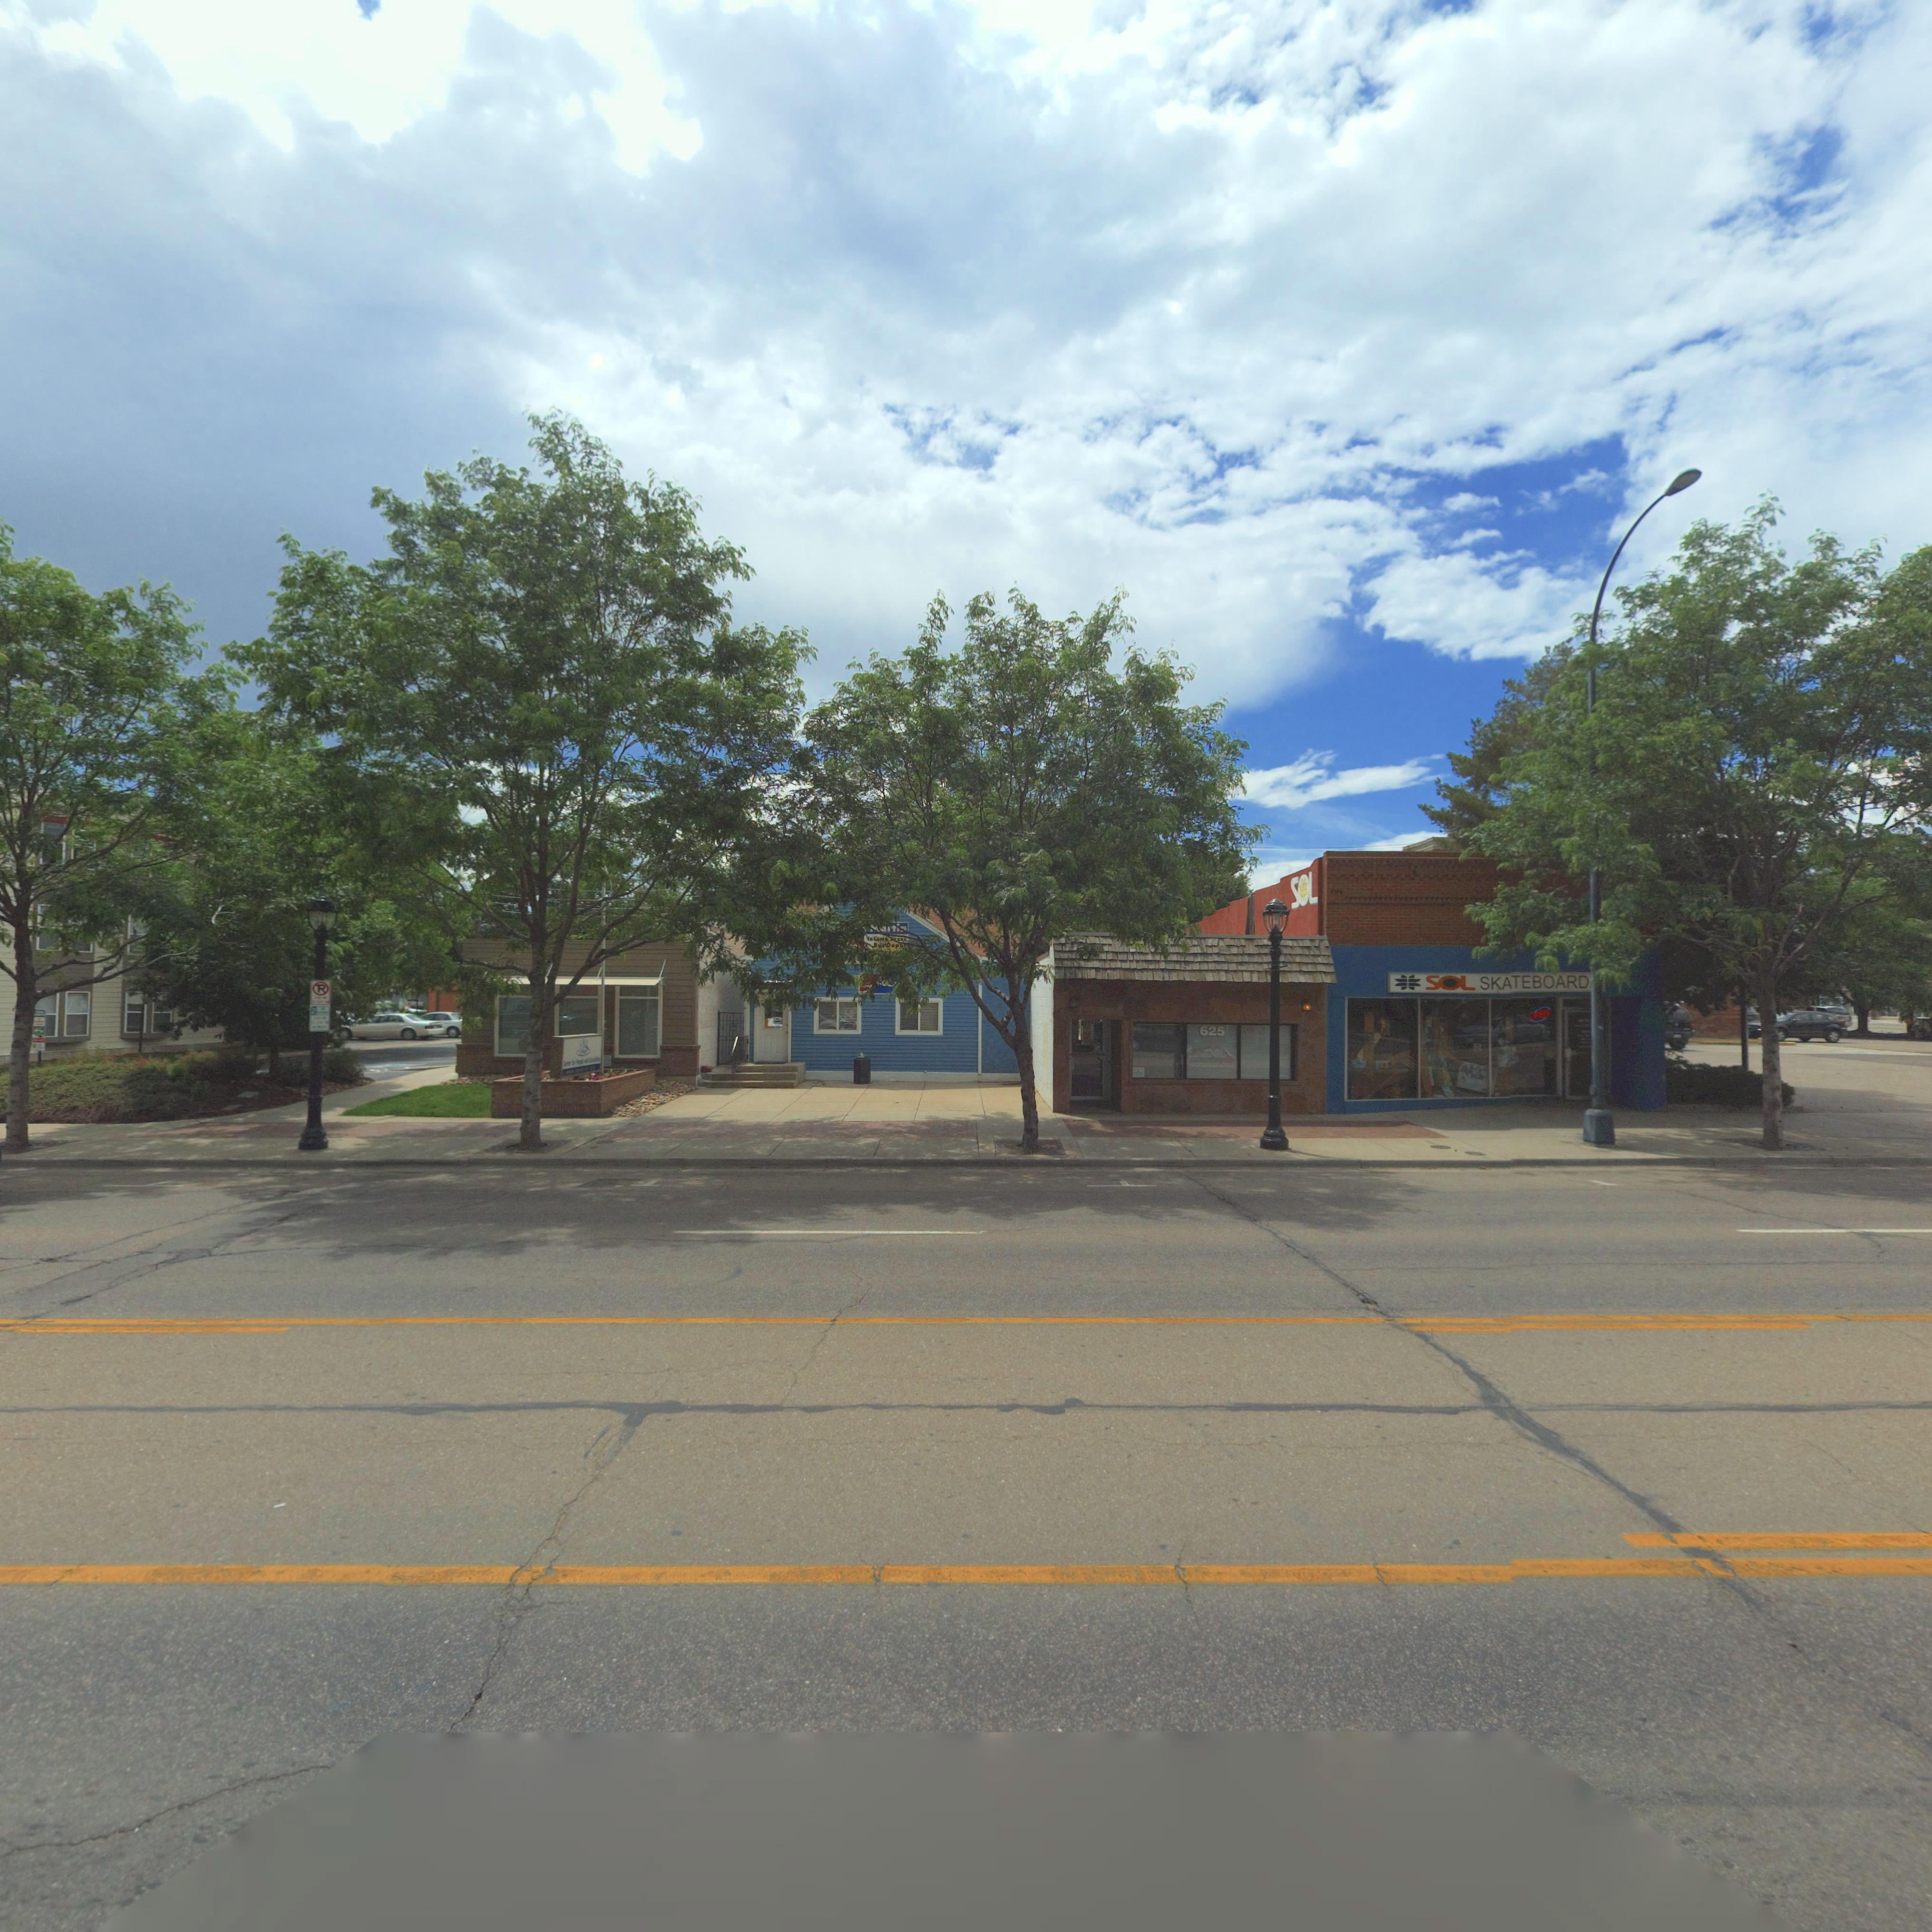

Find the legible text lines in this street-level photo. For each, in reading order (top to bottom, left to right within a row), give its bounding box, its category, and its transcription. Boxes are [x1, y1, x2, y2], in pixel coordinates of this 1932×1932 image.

[1290, 870, 1318, 909] BusinessName: SOL
[869, 923, 908, 932] BusinessName: ***ti*
[1424, 974, 1590, 991] BusinessName: SOL SKATEBOARD
[788, 1006, 791, 1011] StreetNumber: 3
[1081, 1020, 1091, 1026] StreetNumber: 625
[1199, 1025, 1226, 1037] StreetNumber: 625
[563, 1056, 600, 1067] BusinessName: C***** for P*o*** w*** ***********